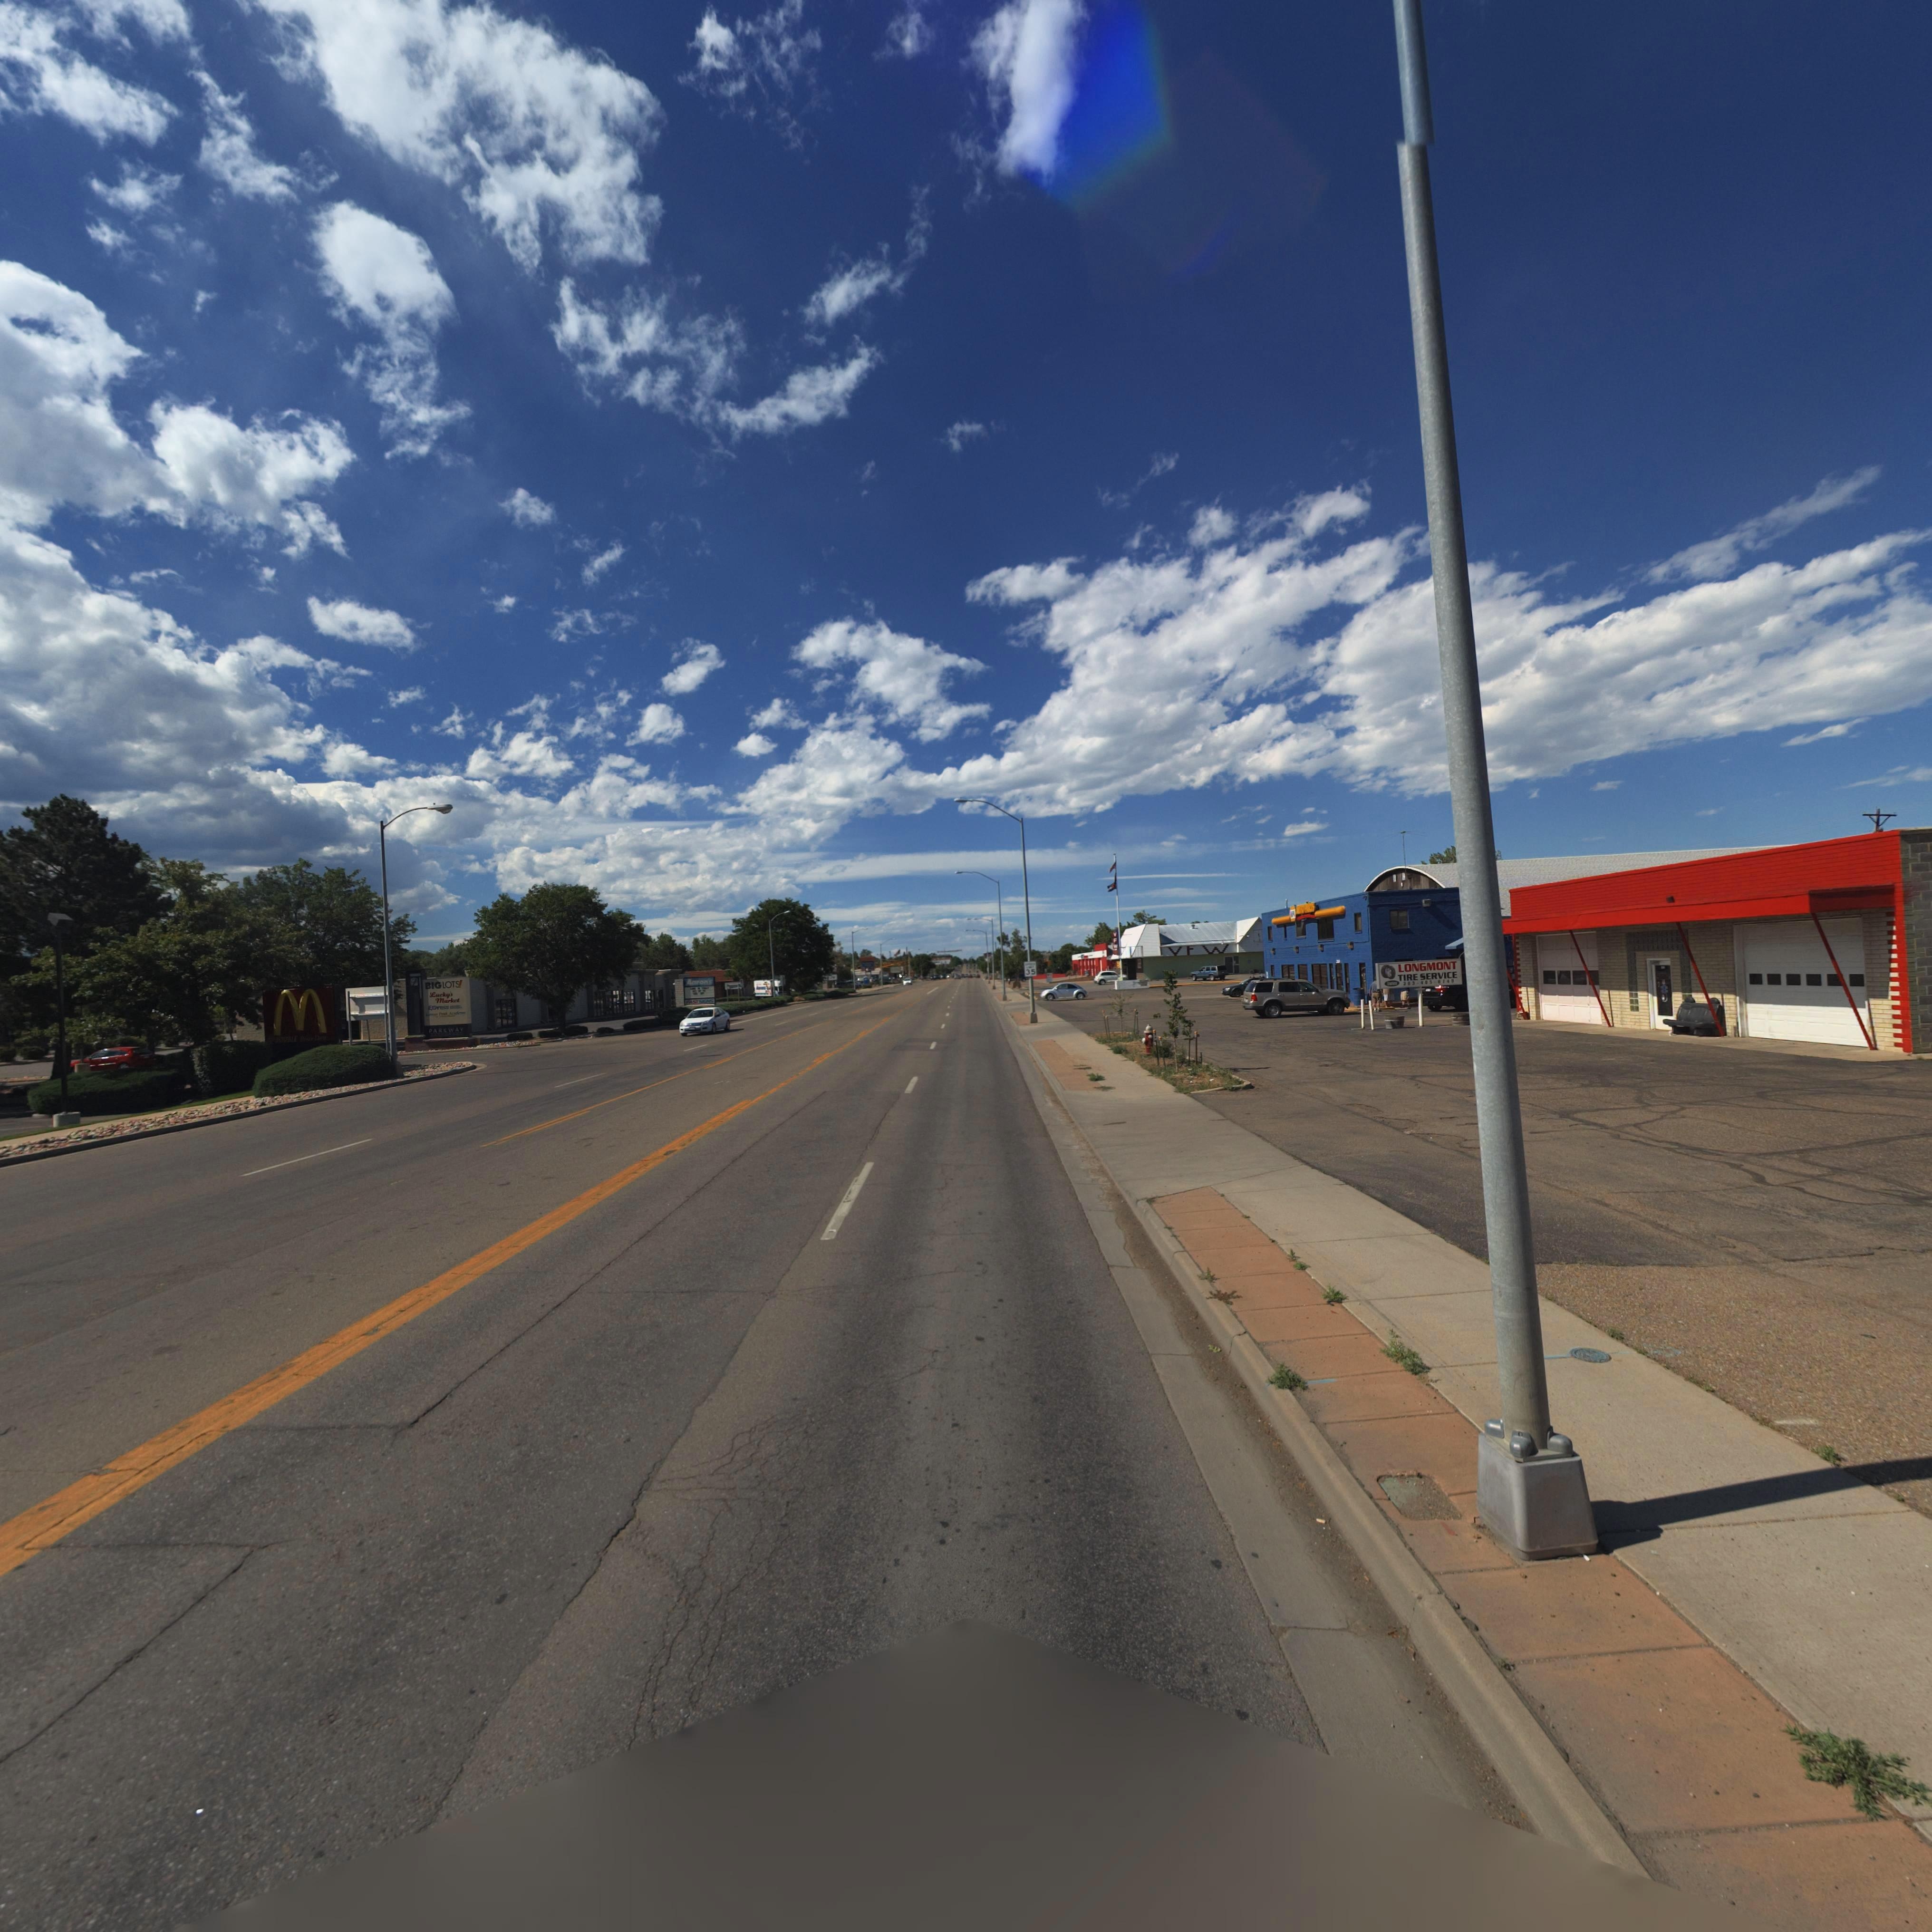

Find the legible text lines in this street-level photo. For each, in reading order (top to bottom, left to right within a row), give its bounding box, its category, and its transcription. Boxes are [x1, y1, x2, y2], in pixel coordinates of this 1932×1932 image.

[1295, 902, 1315, 915] BusinessName: ***O ****S
[1112, 931, 1118, 948] BusinessName: VFW
[1166, 943, 1229, 956] BusinessName: V*W
[1397, 961, 1457, 973] BusinessName: LONGMONT
[1397, 971, 1458, 981] BusinessName: TIRE SERVICE
[425, 980, 460, 989] BusinessName: BIG LOTS
[686, 978, 712, 985] BusinessName: Aaron*
[429, 991, 453, 998] BusinessName: Lucky's
[435, 997, 460, 1004] BusinessName: Market
[686, 999, 714, 1004] BusinessName: FAST S*GNS